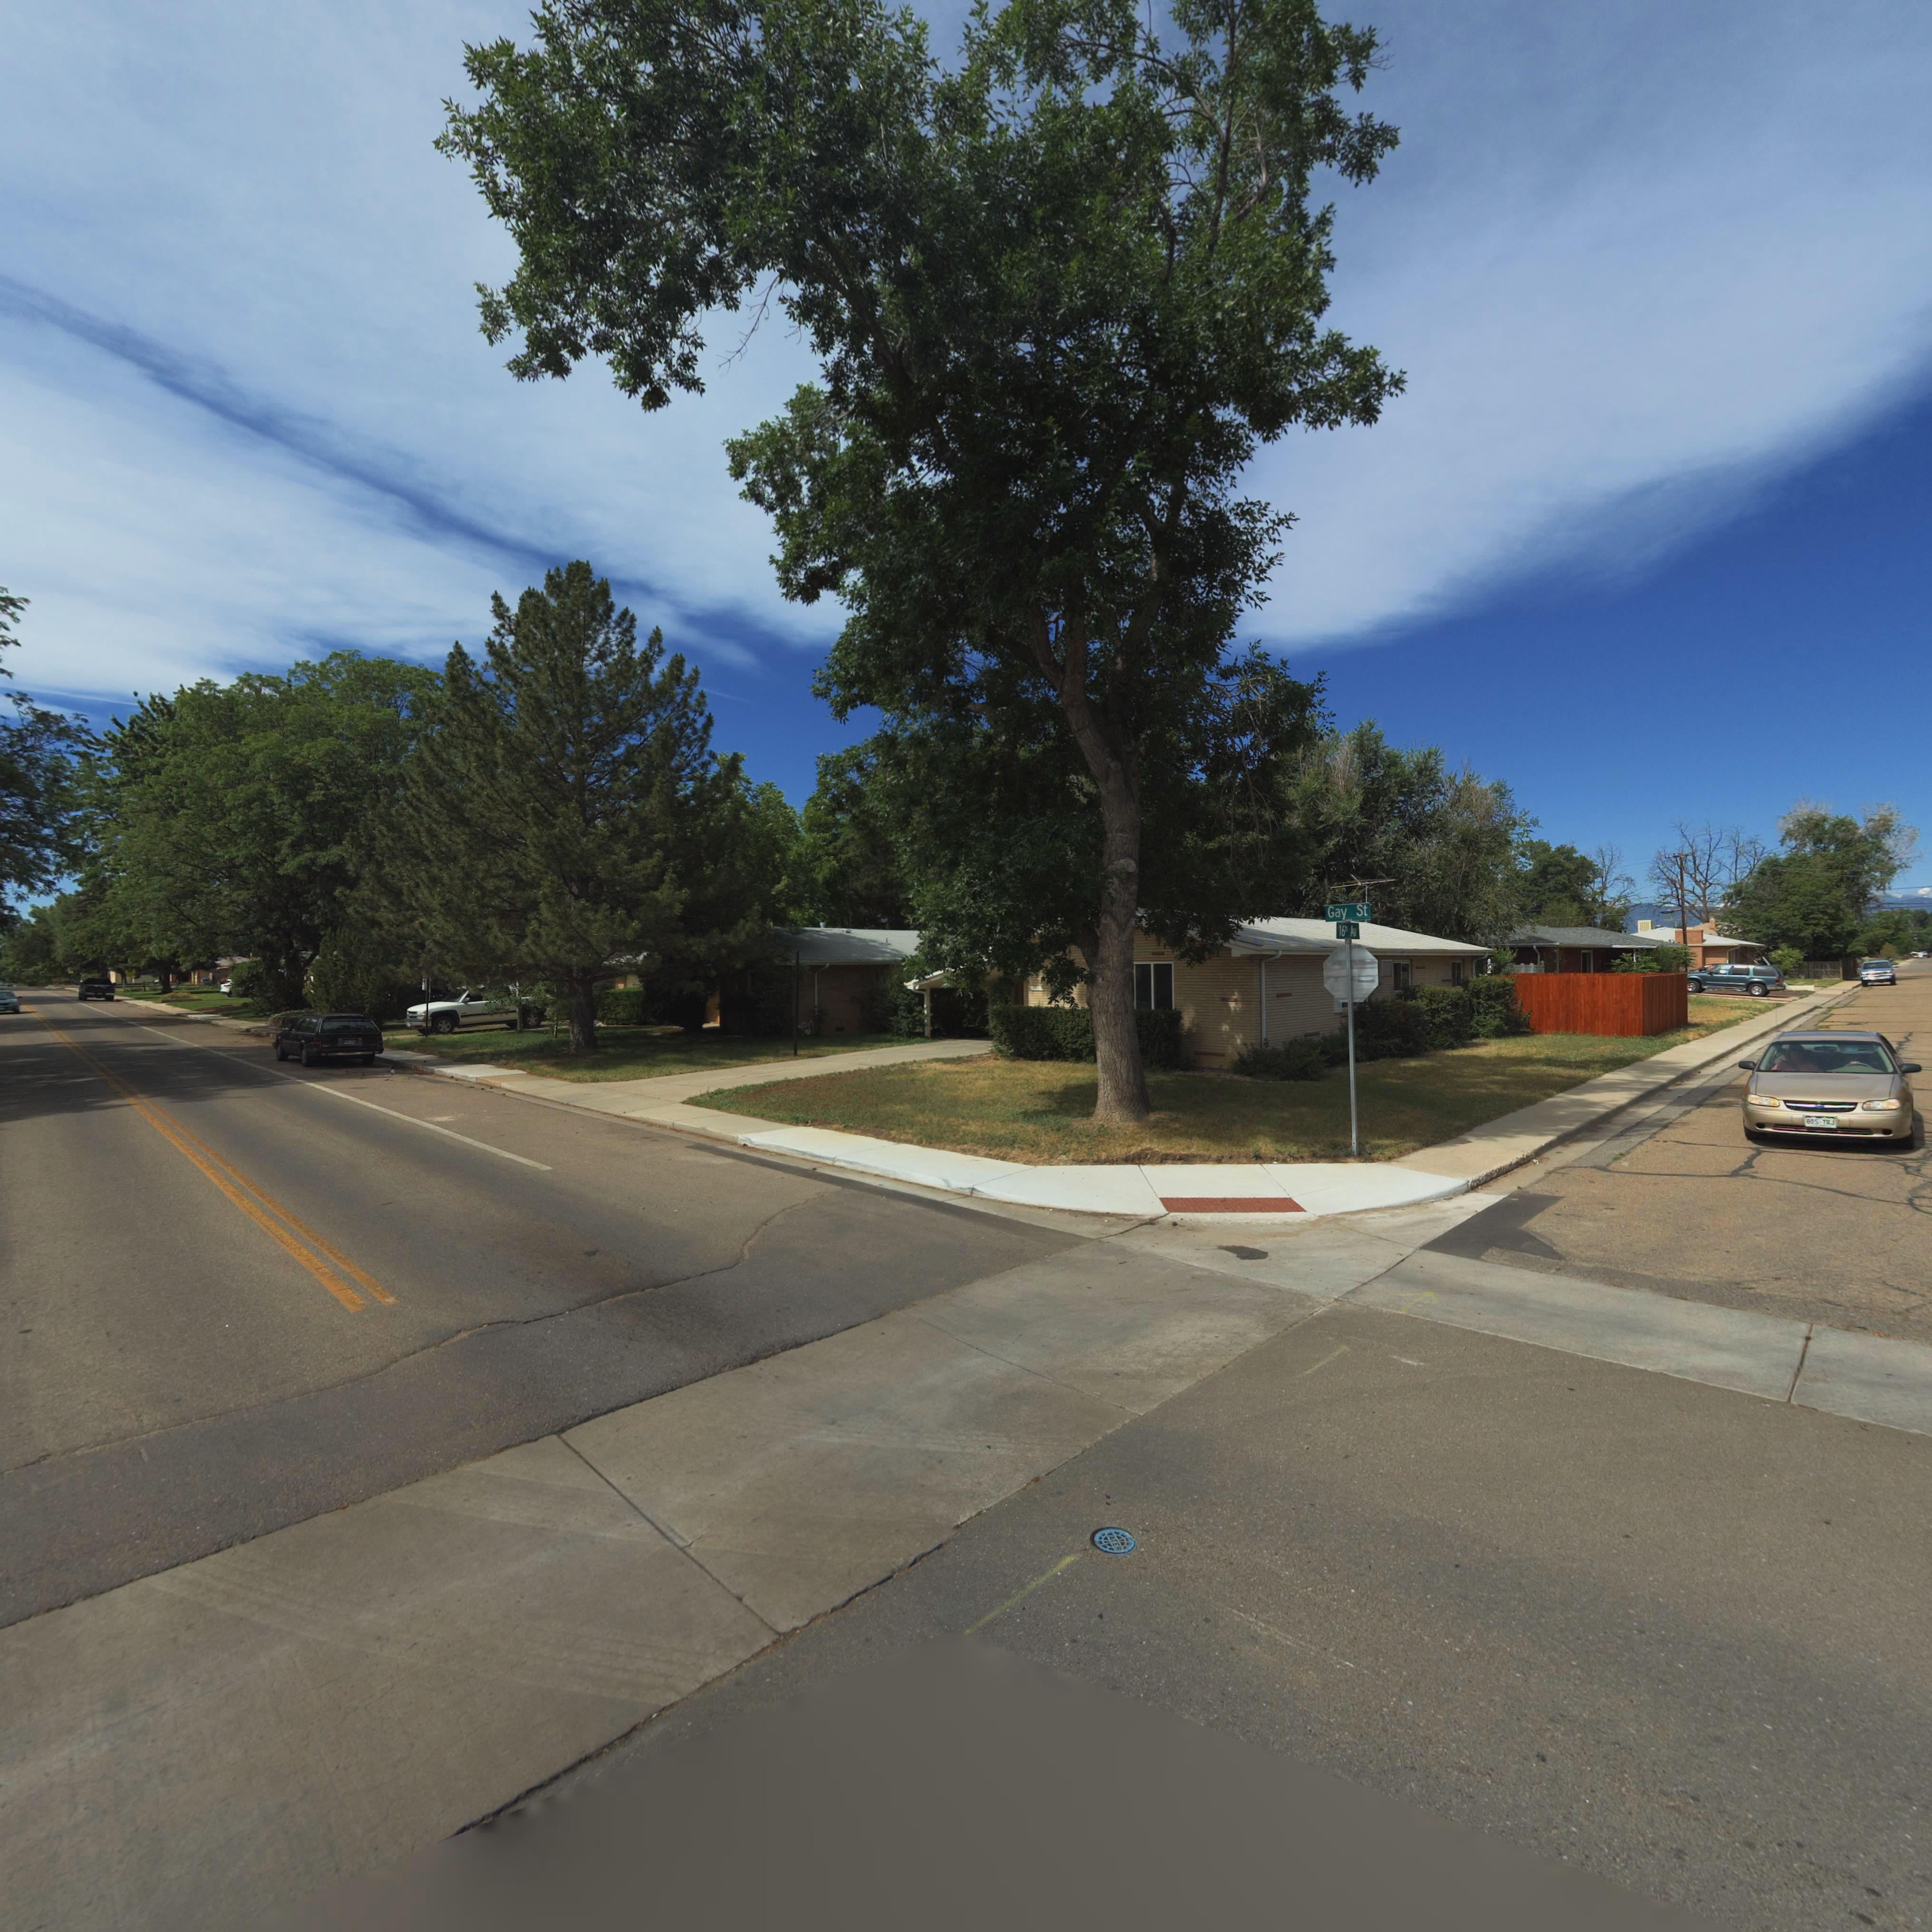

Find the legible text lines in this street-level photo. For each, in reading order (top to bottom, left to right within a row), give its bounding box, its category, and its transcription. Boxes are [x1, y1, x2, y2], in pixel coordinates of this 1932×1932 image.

[1326, 903, 1368, 921] StreetName: Gay St
[1338, 924, 1358, 937] StreetName: 16th Av